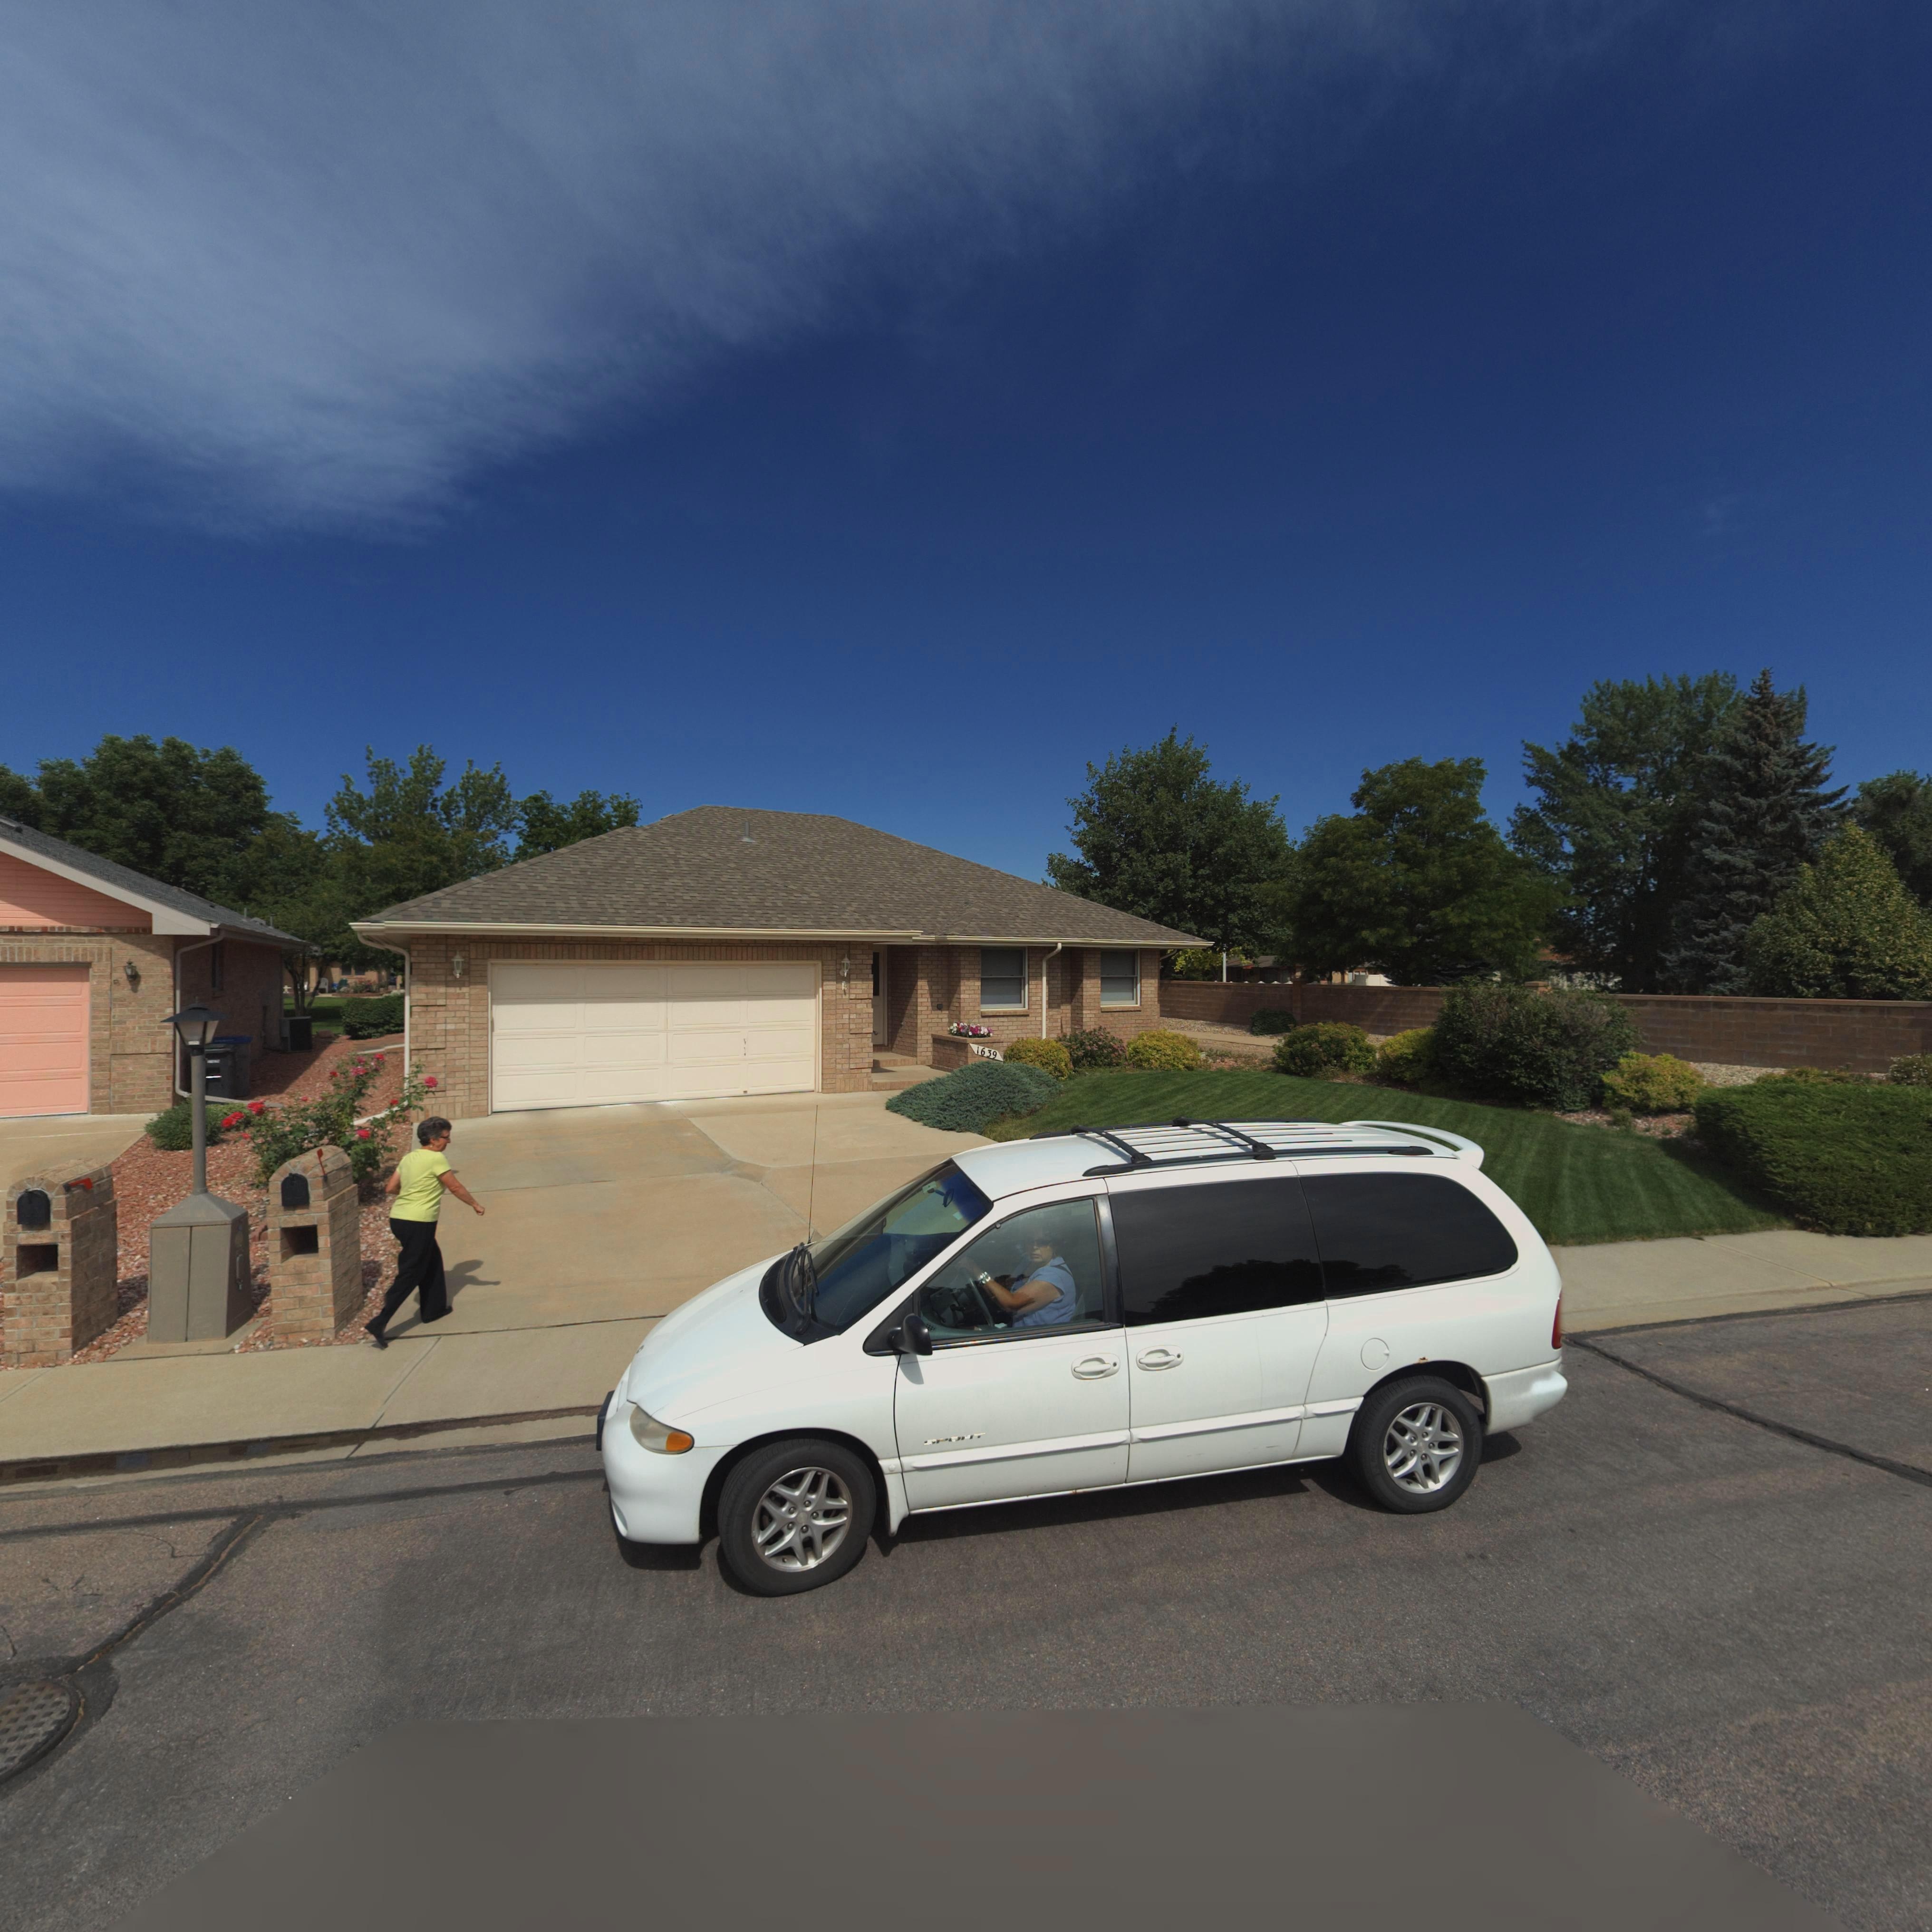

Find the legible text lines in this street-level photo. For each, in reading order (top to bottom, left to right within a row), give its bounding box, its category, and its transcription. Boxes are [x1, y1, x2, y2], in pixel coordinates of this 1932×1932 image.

[976, 1045, 996, 1059] StreetNumber: 1639